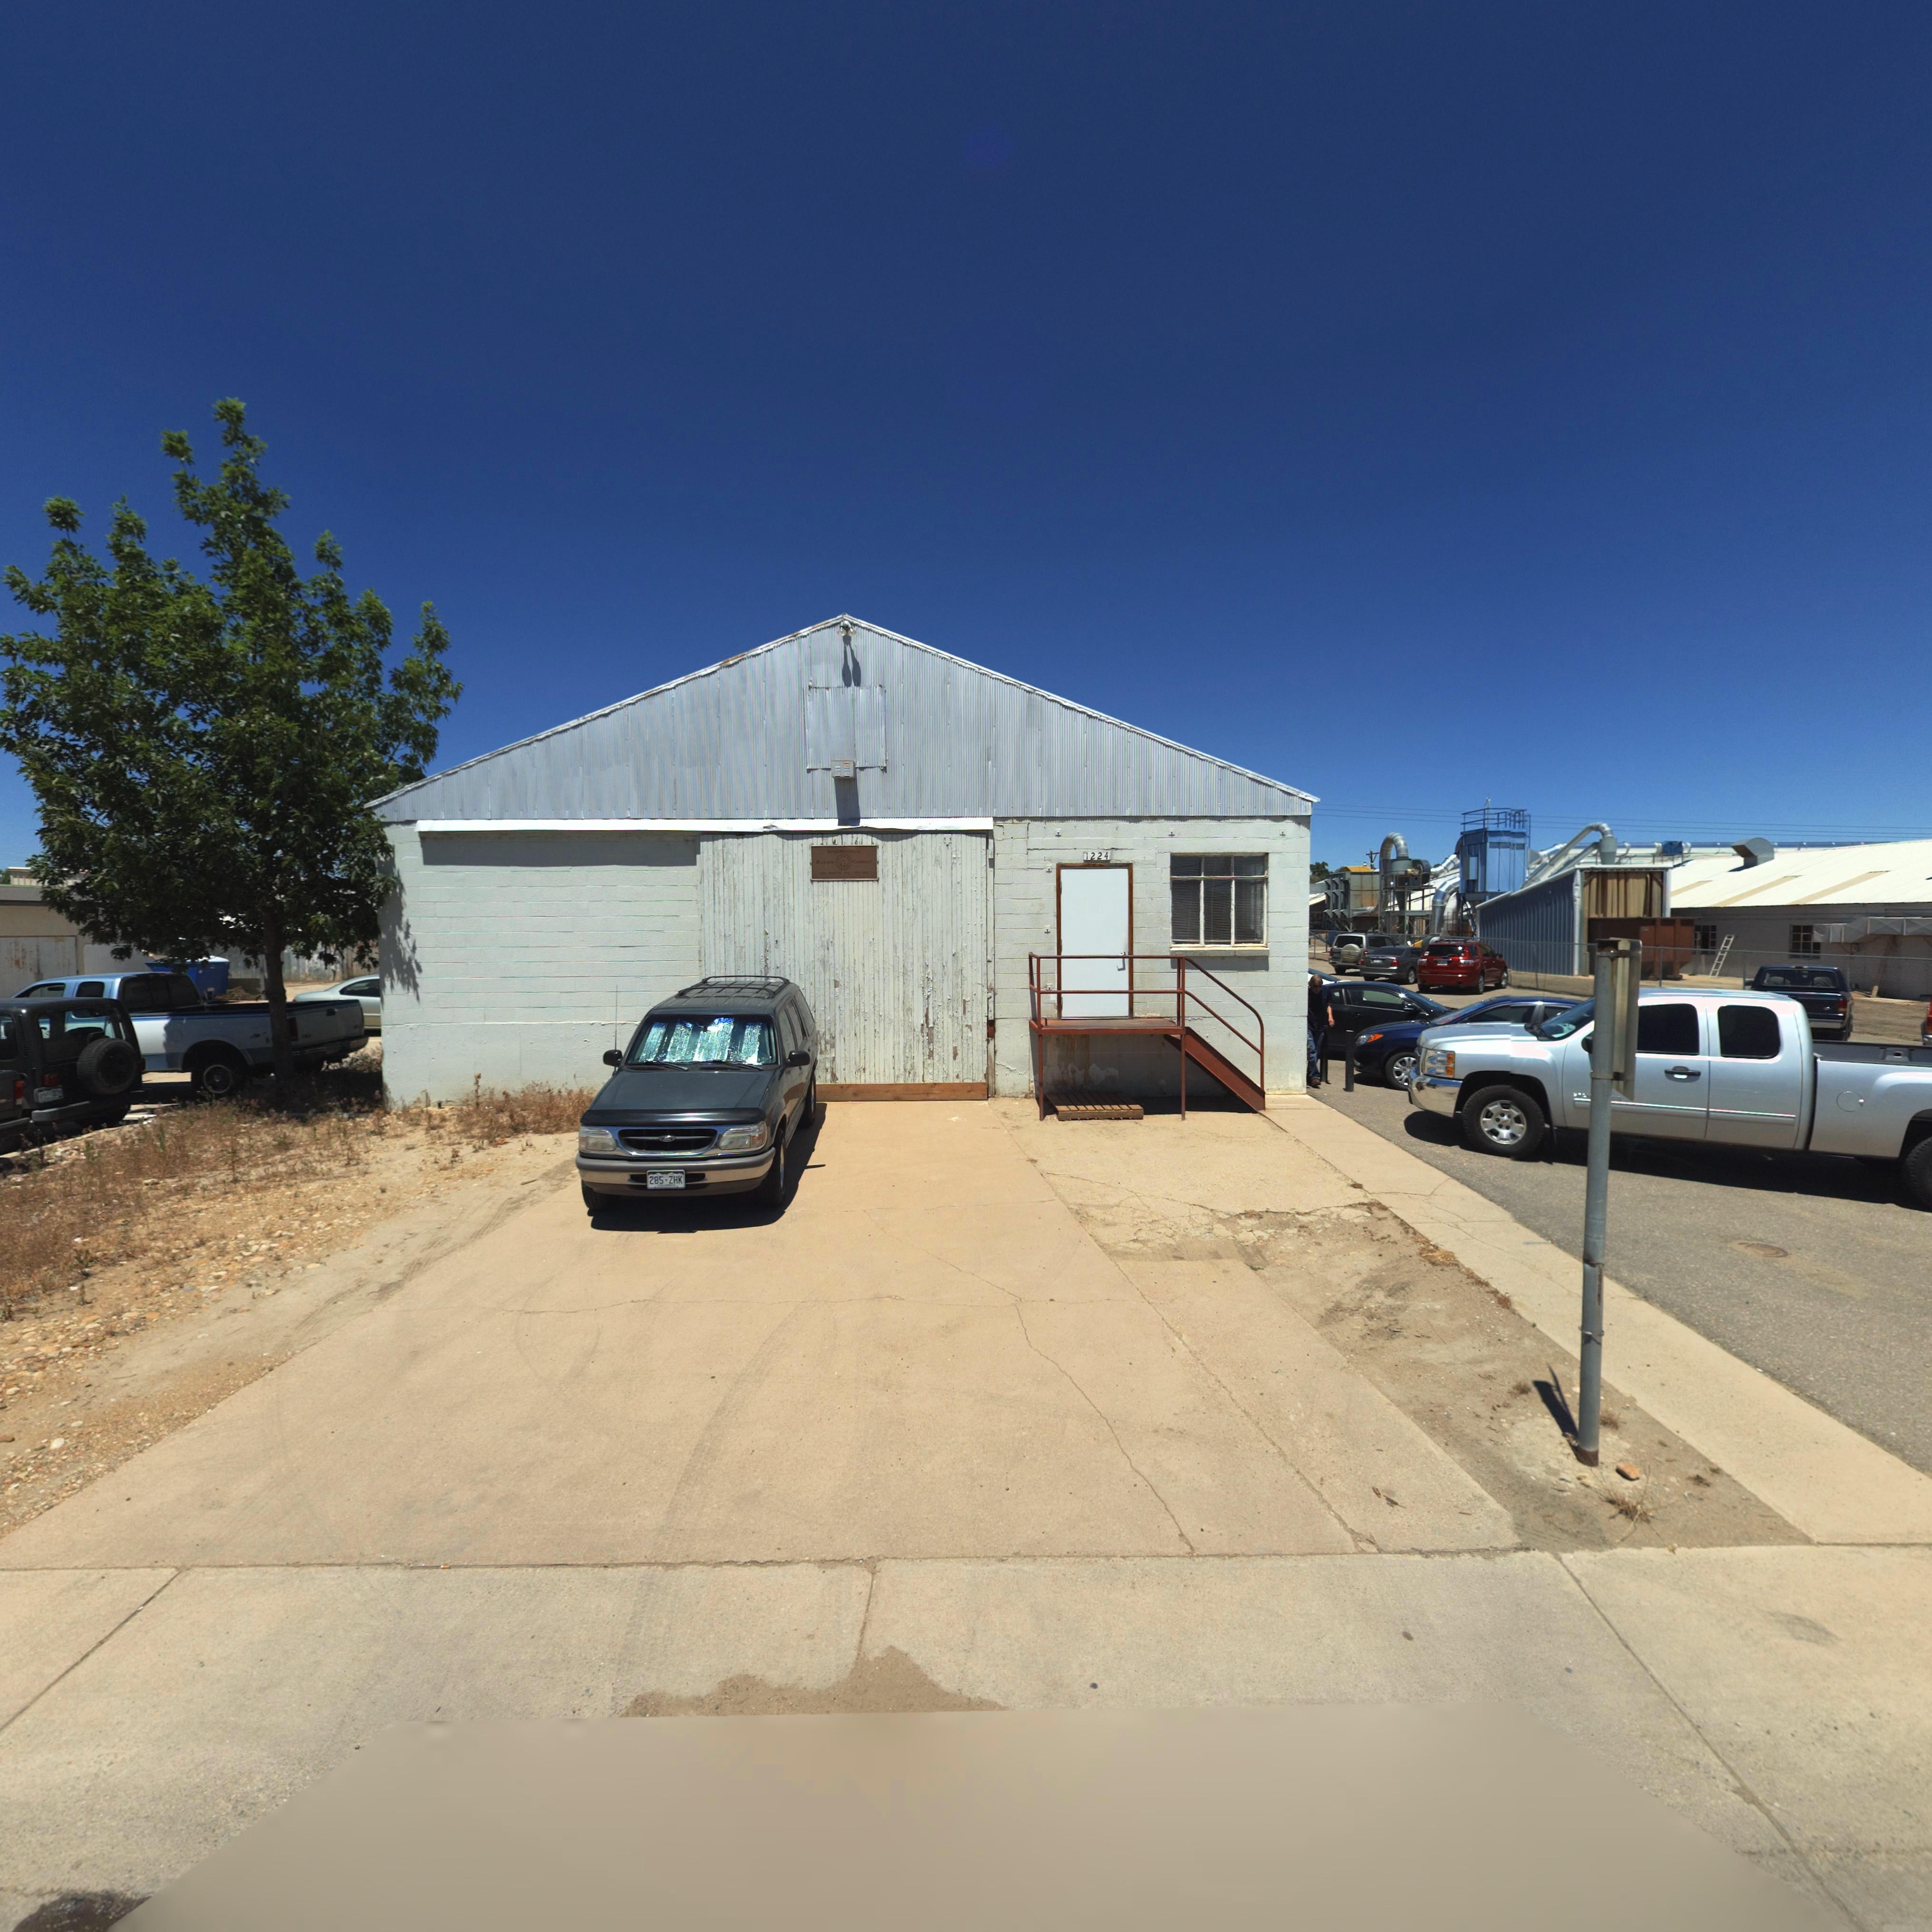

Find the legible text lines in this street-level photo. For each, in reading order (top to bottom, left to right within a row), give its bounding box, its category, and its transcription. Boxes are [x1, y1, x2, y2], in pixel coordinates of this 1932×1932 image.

[1086, 851, 1108, 860] StreetNumber: 1224